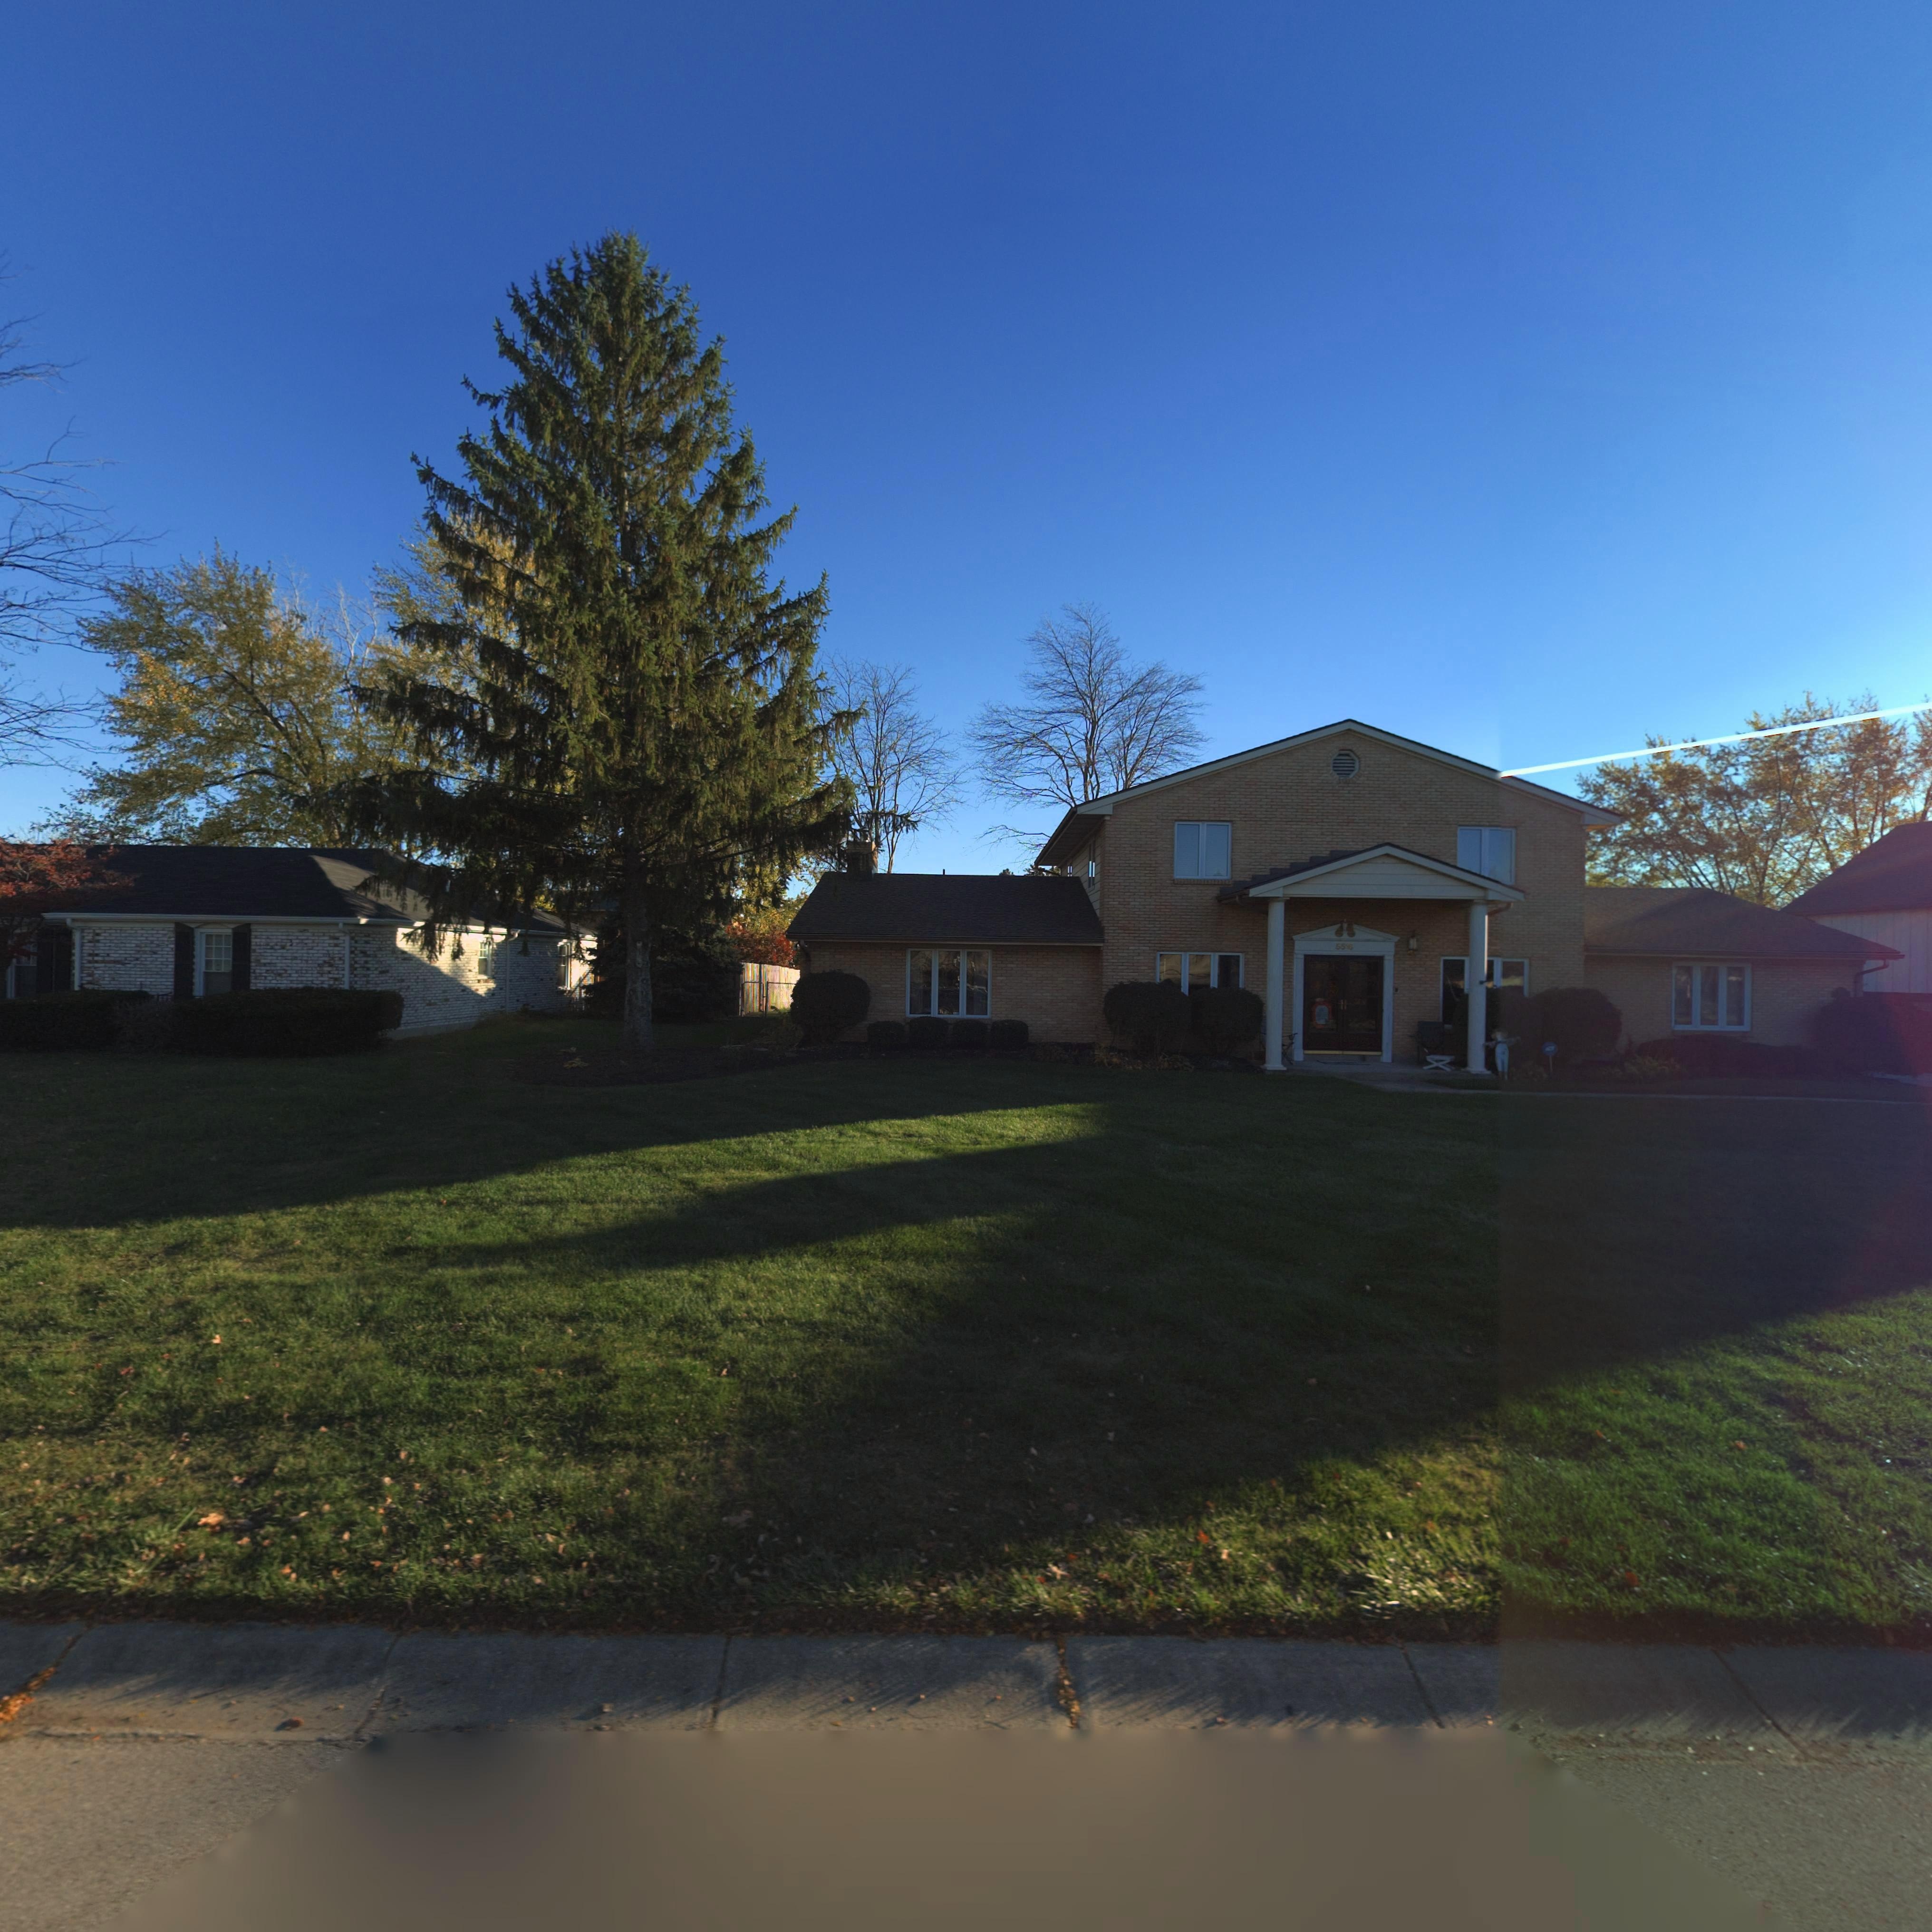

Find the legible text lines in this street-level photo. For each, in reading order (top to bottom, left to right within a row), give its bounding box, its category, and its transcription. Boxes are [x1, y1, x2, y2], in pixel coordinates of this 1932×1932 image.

[1335, 943, 1354, 951] StreetNumber: 55**